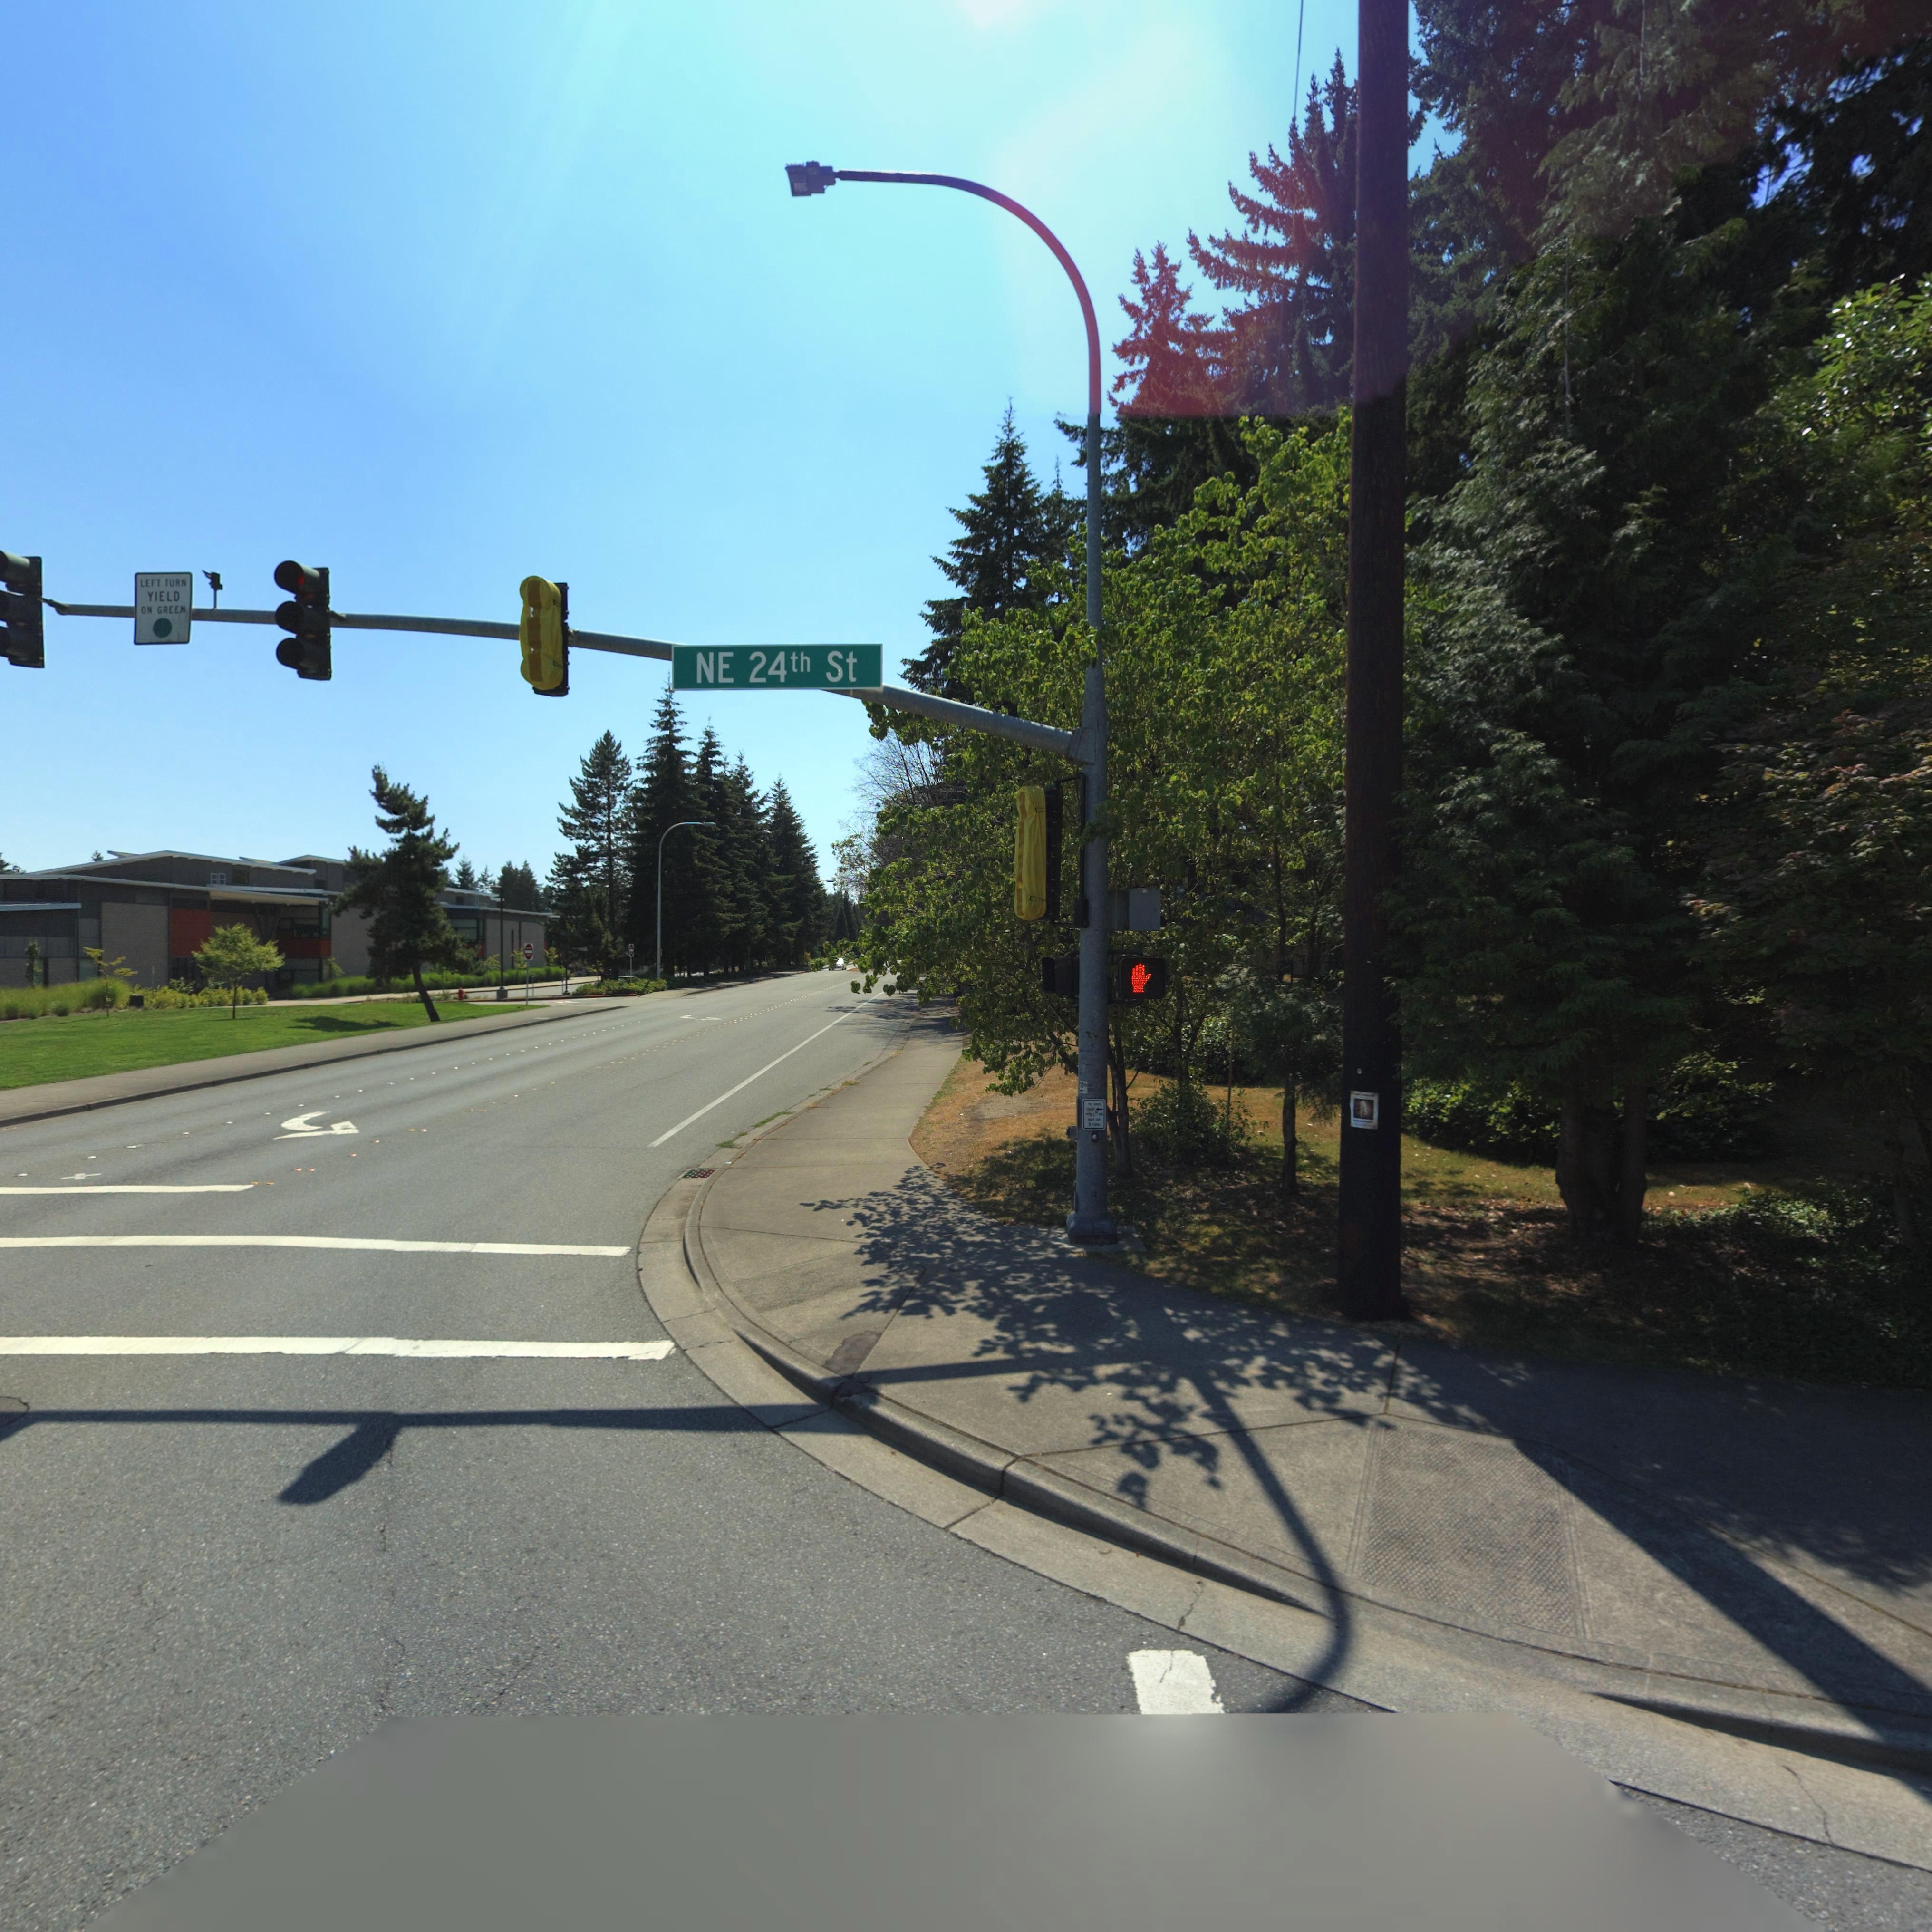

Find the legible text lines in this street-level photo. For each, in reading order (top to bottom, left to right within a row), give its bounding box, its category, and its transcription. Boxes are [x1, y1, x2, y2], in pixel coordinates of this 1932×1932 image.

[696, 651, 856, 683] StreetName: NE 24th St